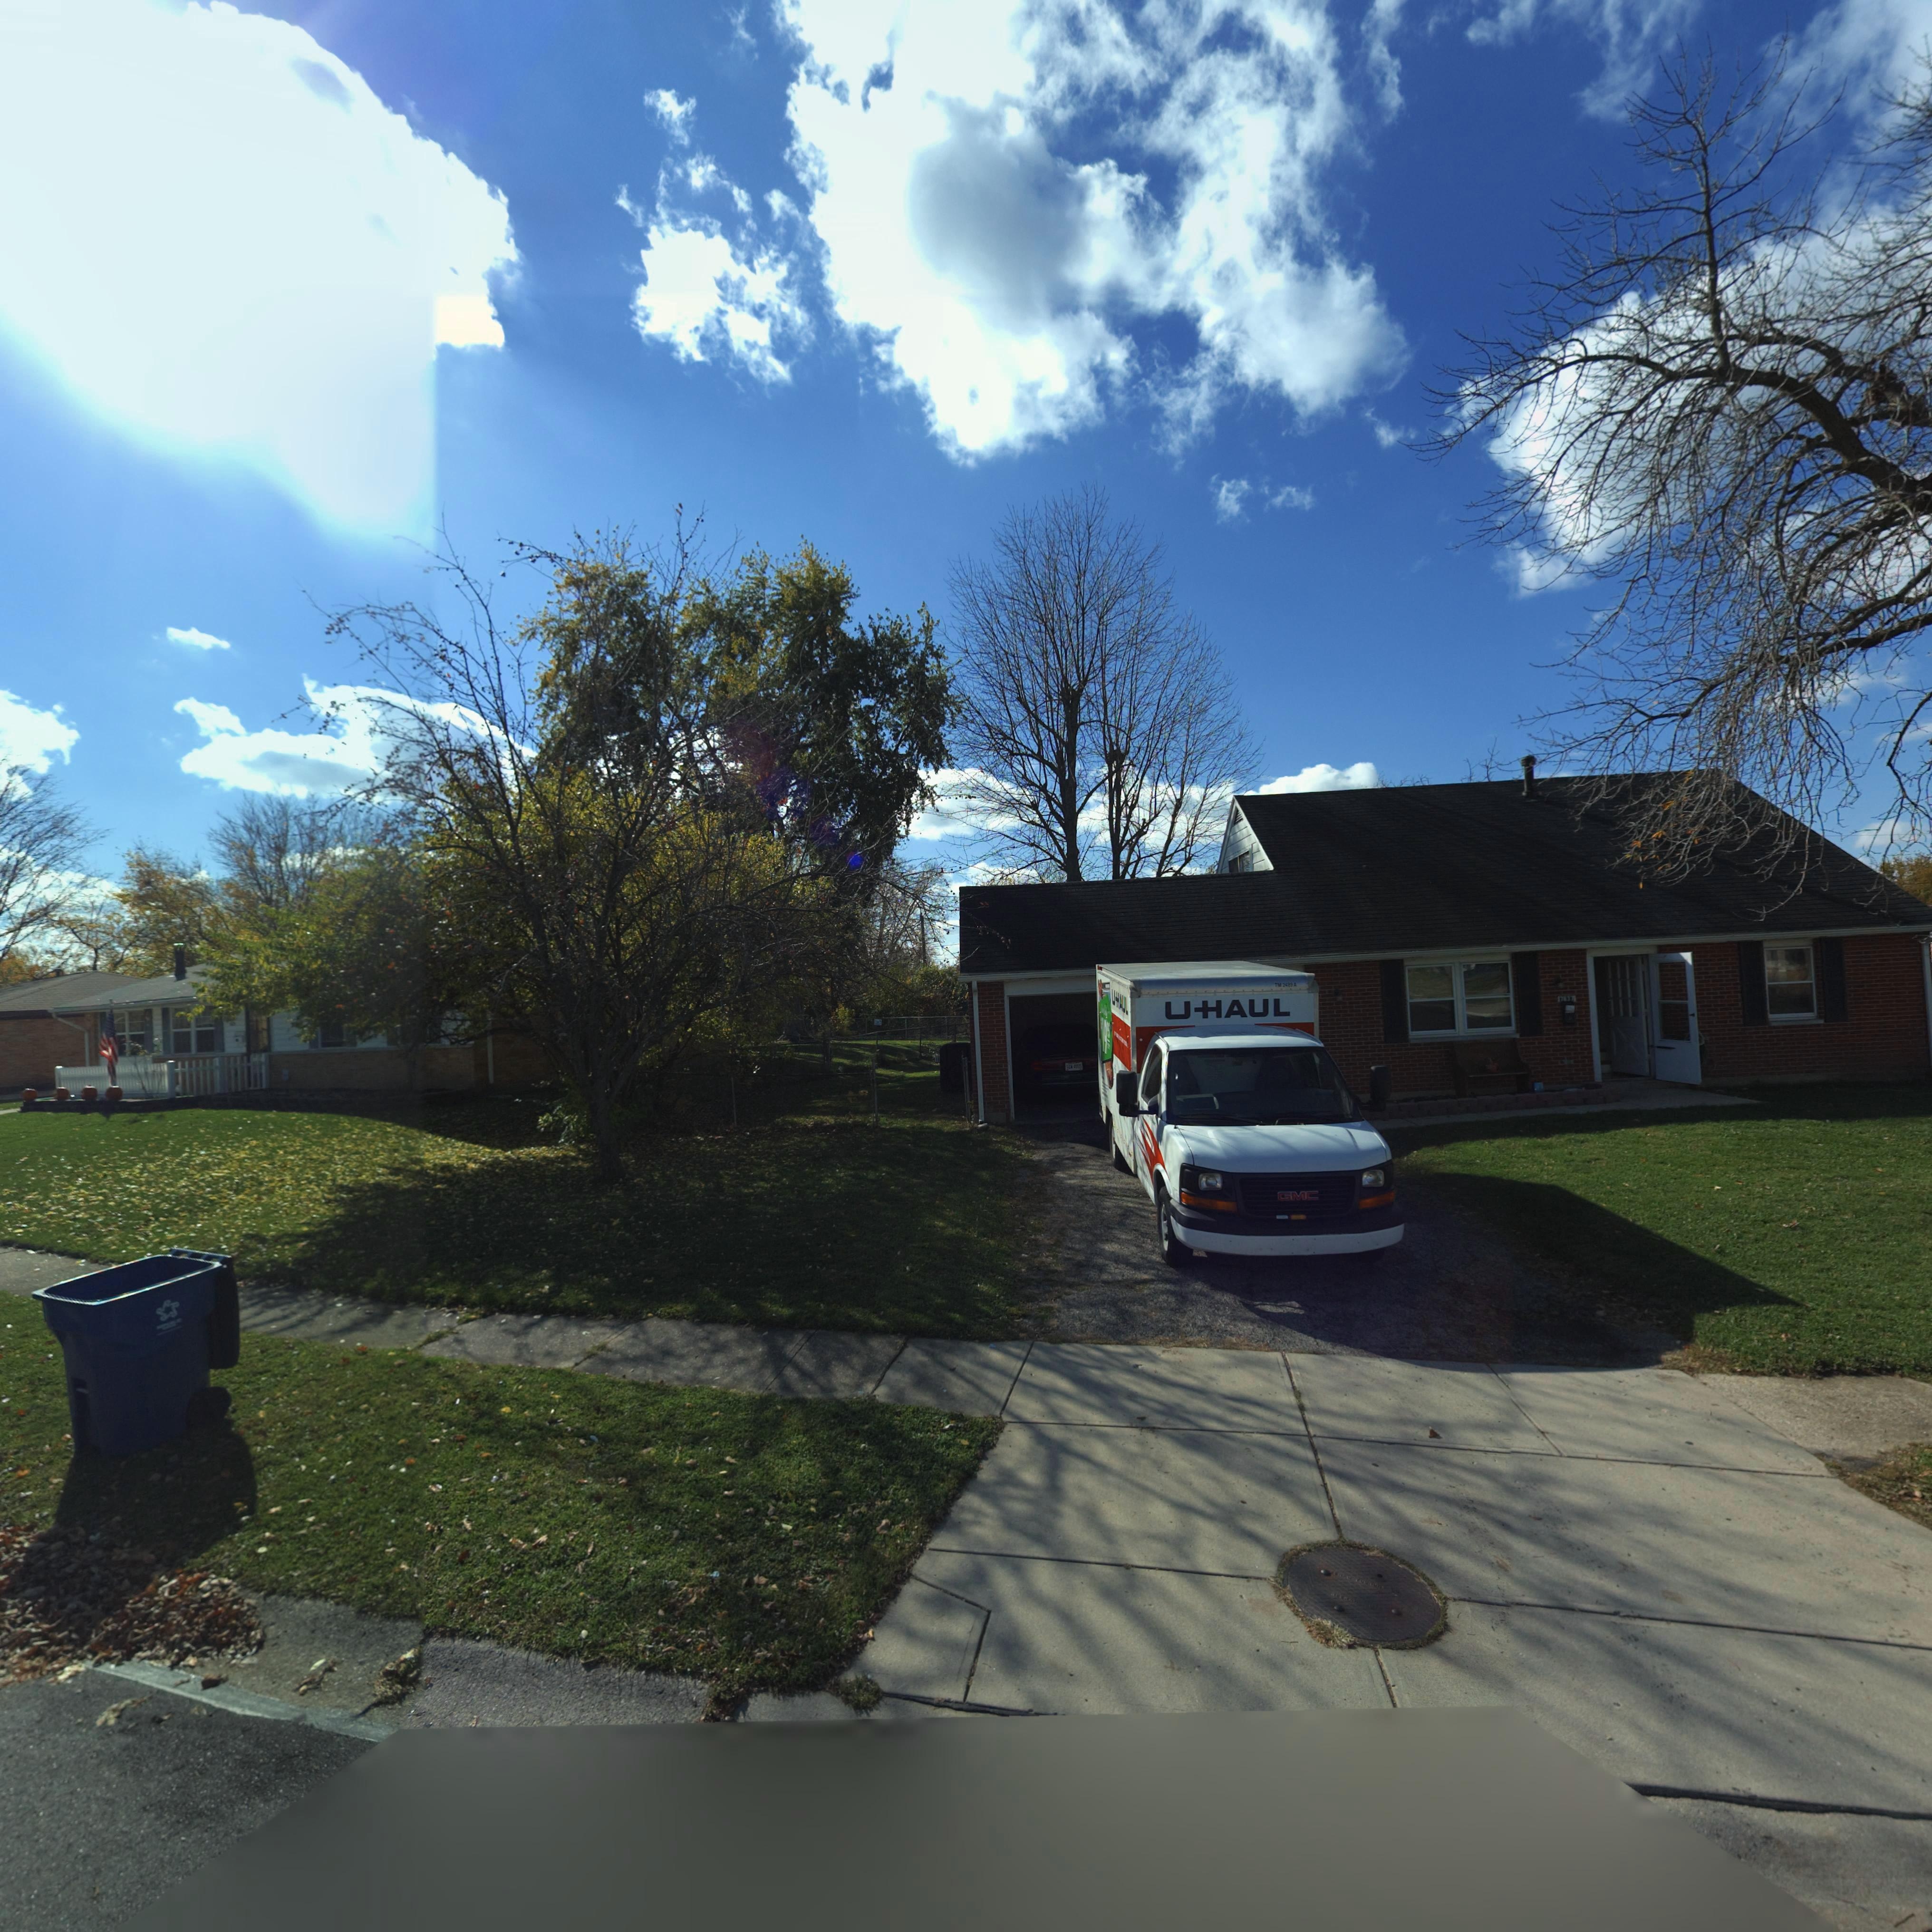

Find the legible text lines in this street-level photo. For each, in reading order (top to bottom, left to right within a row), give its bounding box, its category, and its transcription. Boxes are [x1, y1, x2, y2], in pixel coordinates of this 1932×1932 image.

[1559, 995, 1575, 1002] StreetNumber: 7637